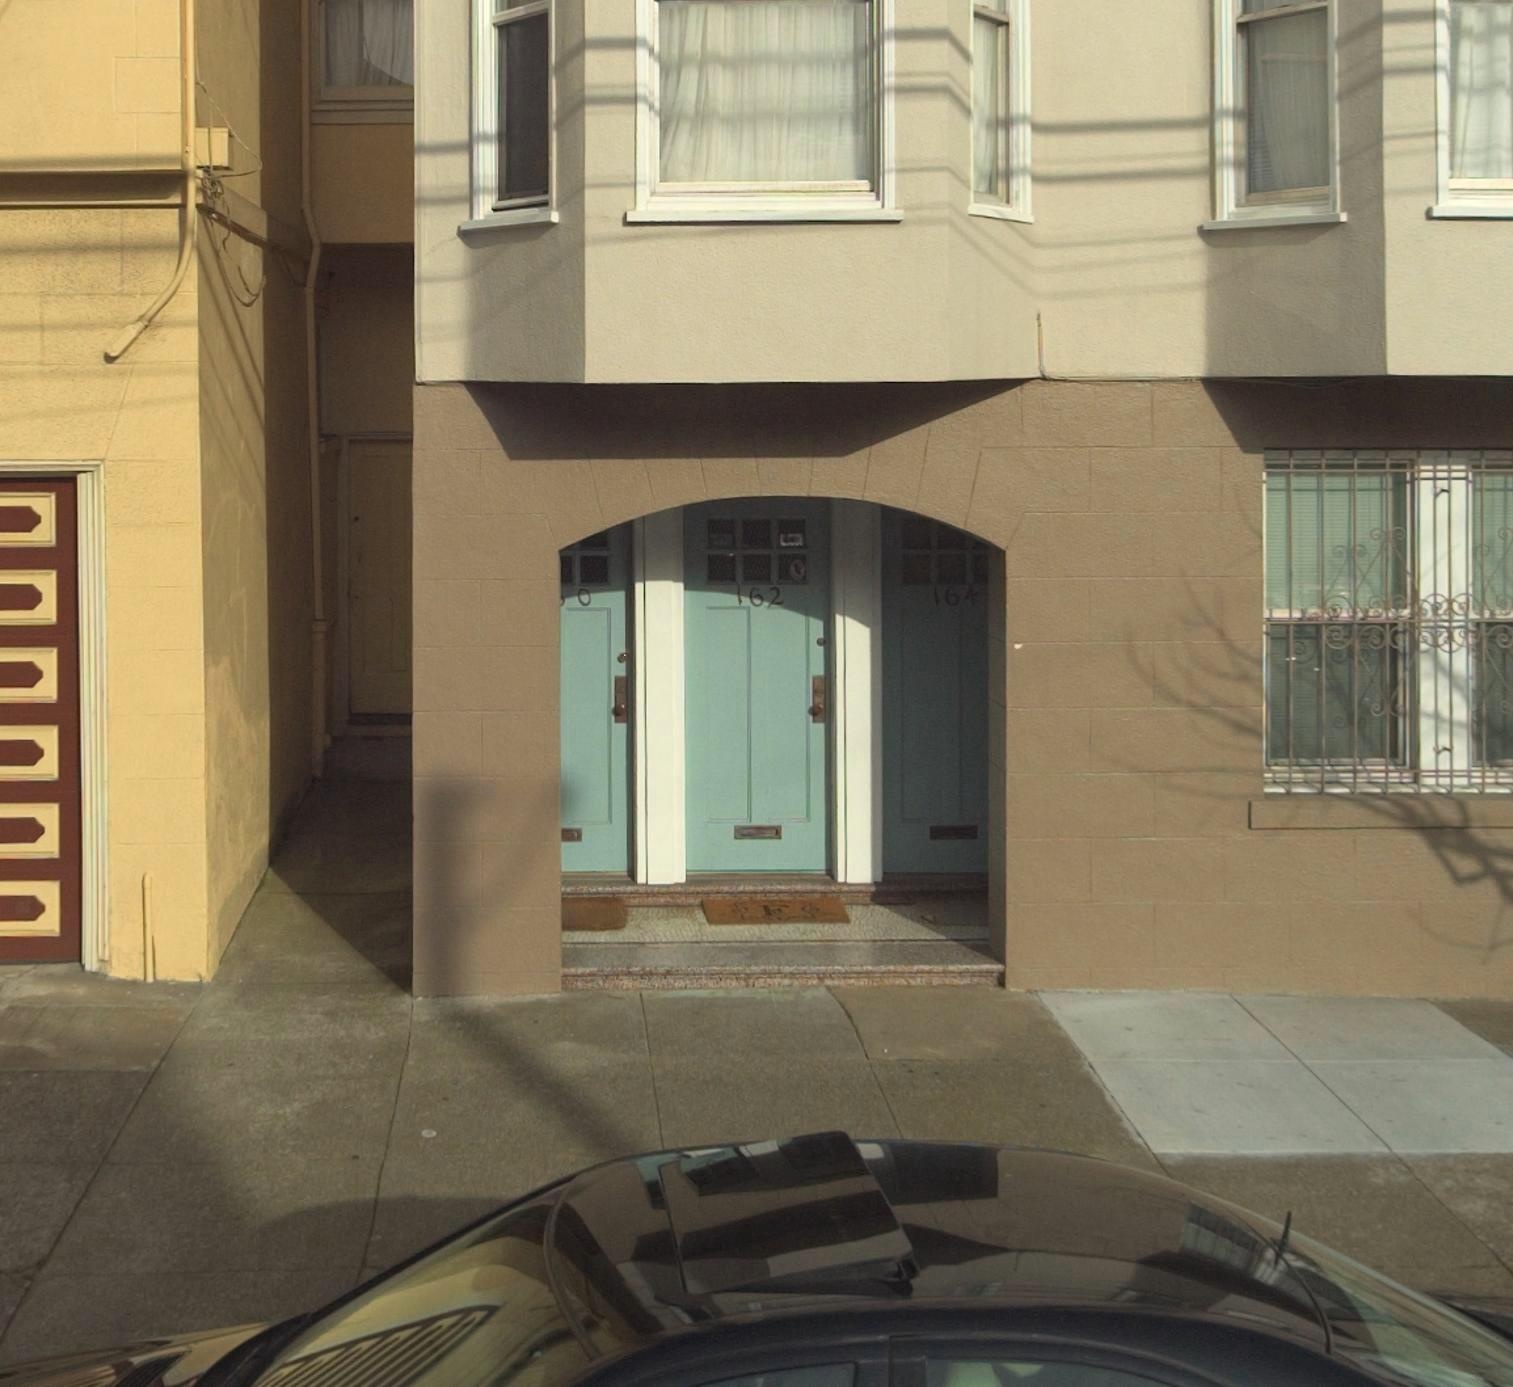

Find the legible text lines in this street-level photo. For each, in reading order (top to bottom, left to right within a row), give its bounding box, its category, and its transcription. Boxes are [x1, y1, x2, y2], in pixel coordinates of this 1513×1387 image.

[575, 587, 593, 608] StreetNumber: 0
[735, 584, 785, 609] StreetNumber: 162
[931, 583, 980, 607] StreetNumber: 164